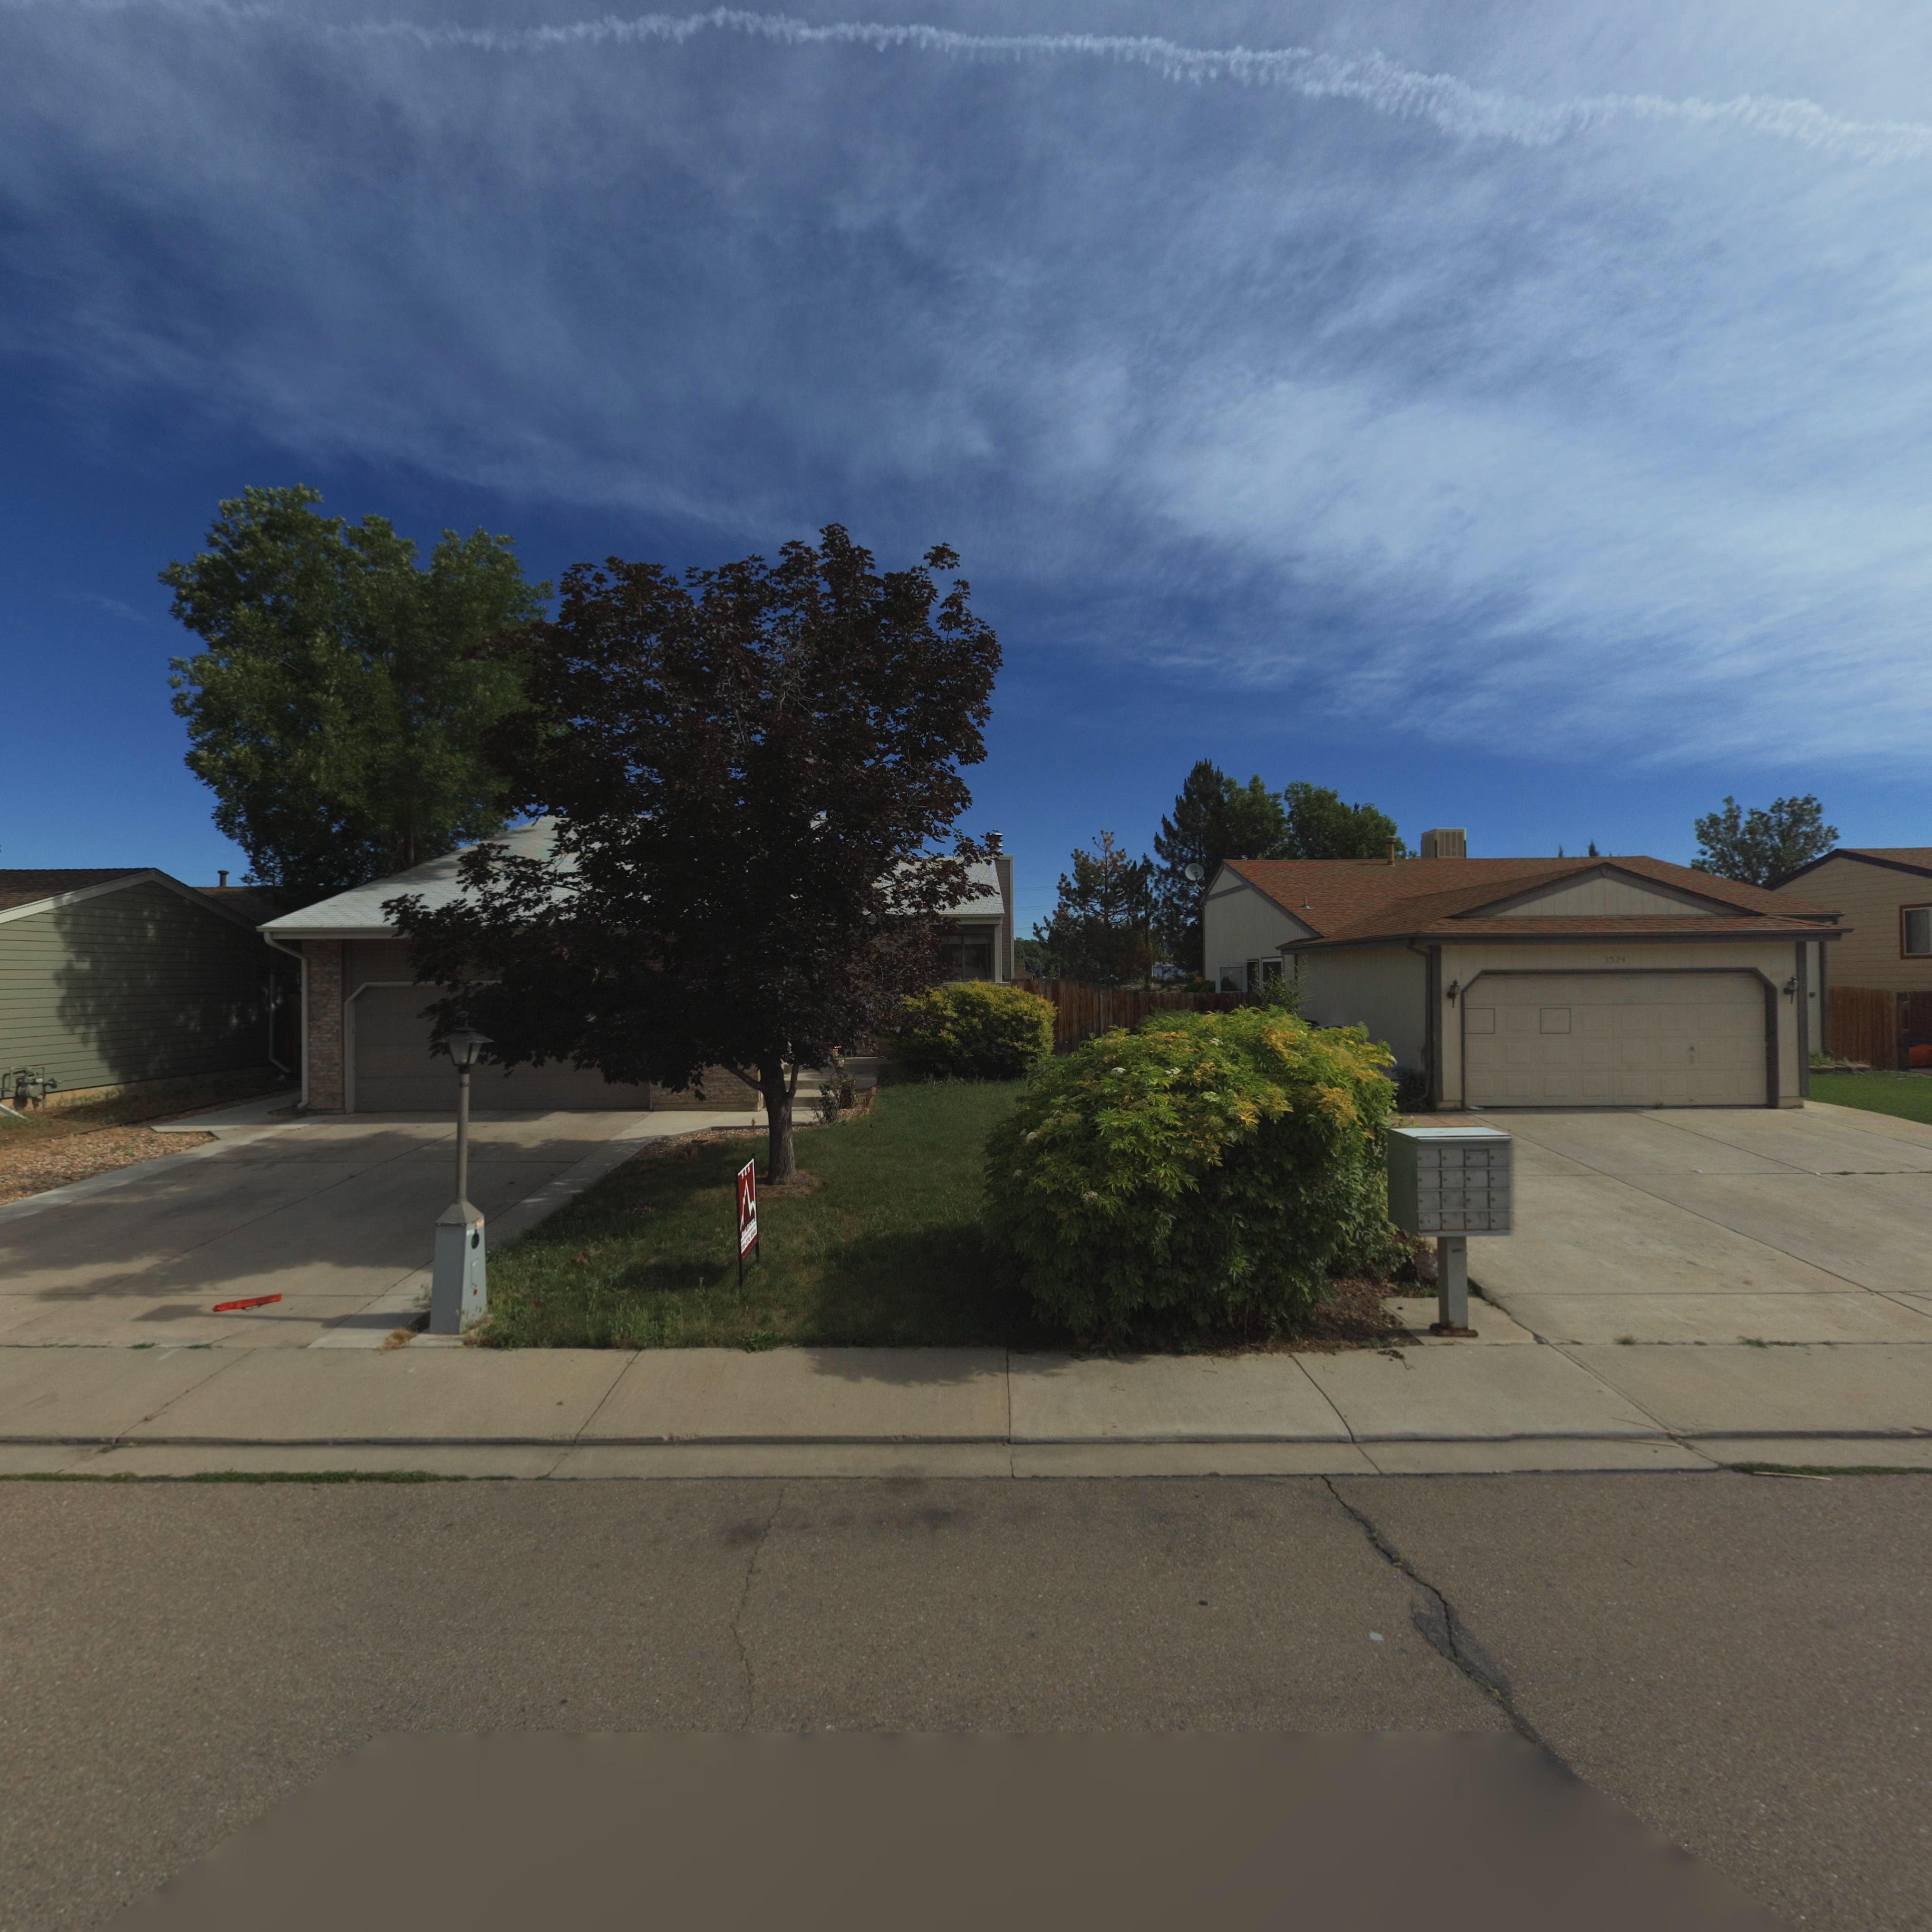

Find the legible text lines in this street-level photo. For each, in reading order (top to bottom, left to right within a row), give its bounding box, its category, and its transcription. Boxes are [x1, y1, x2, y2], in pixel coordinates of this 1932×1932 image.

[1605, 955, 1626, 964] StreetNumber: 152*